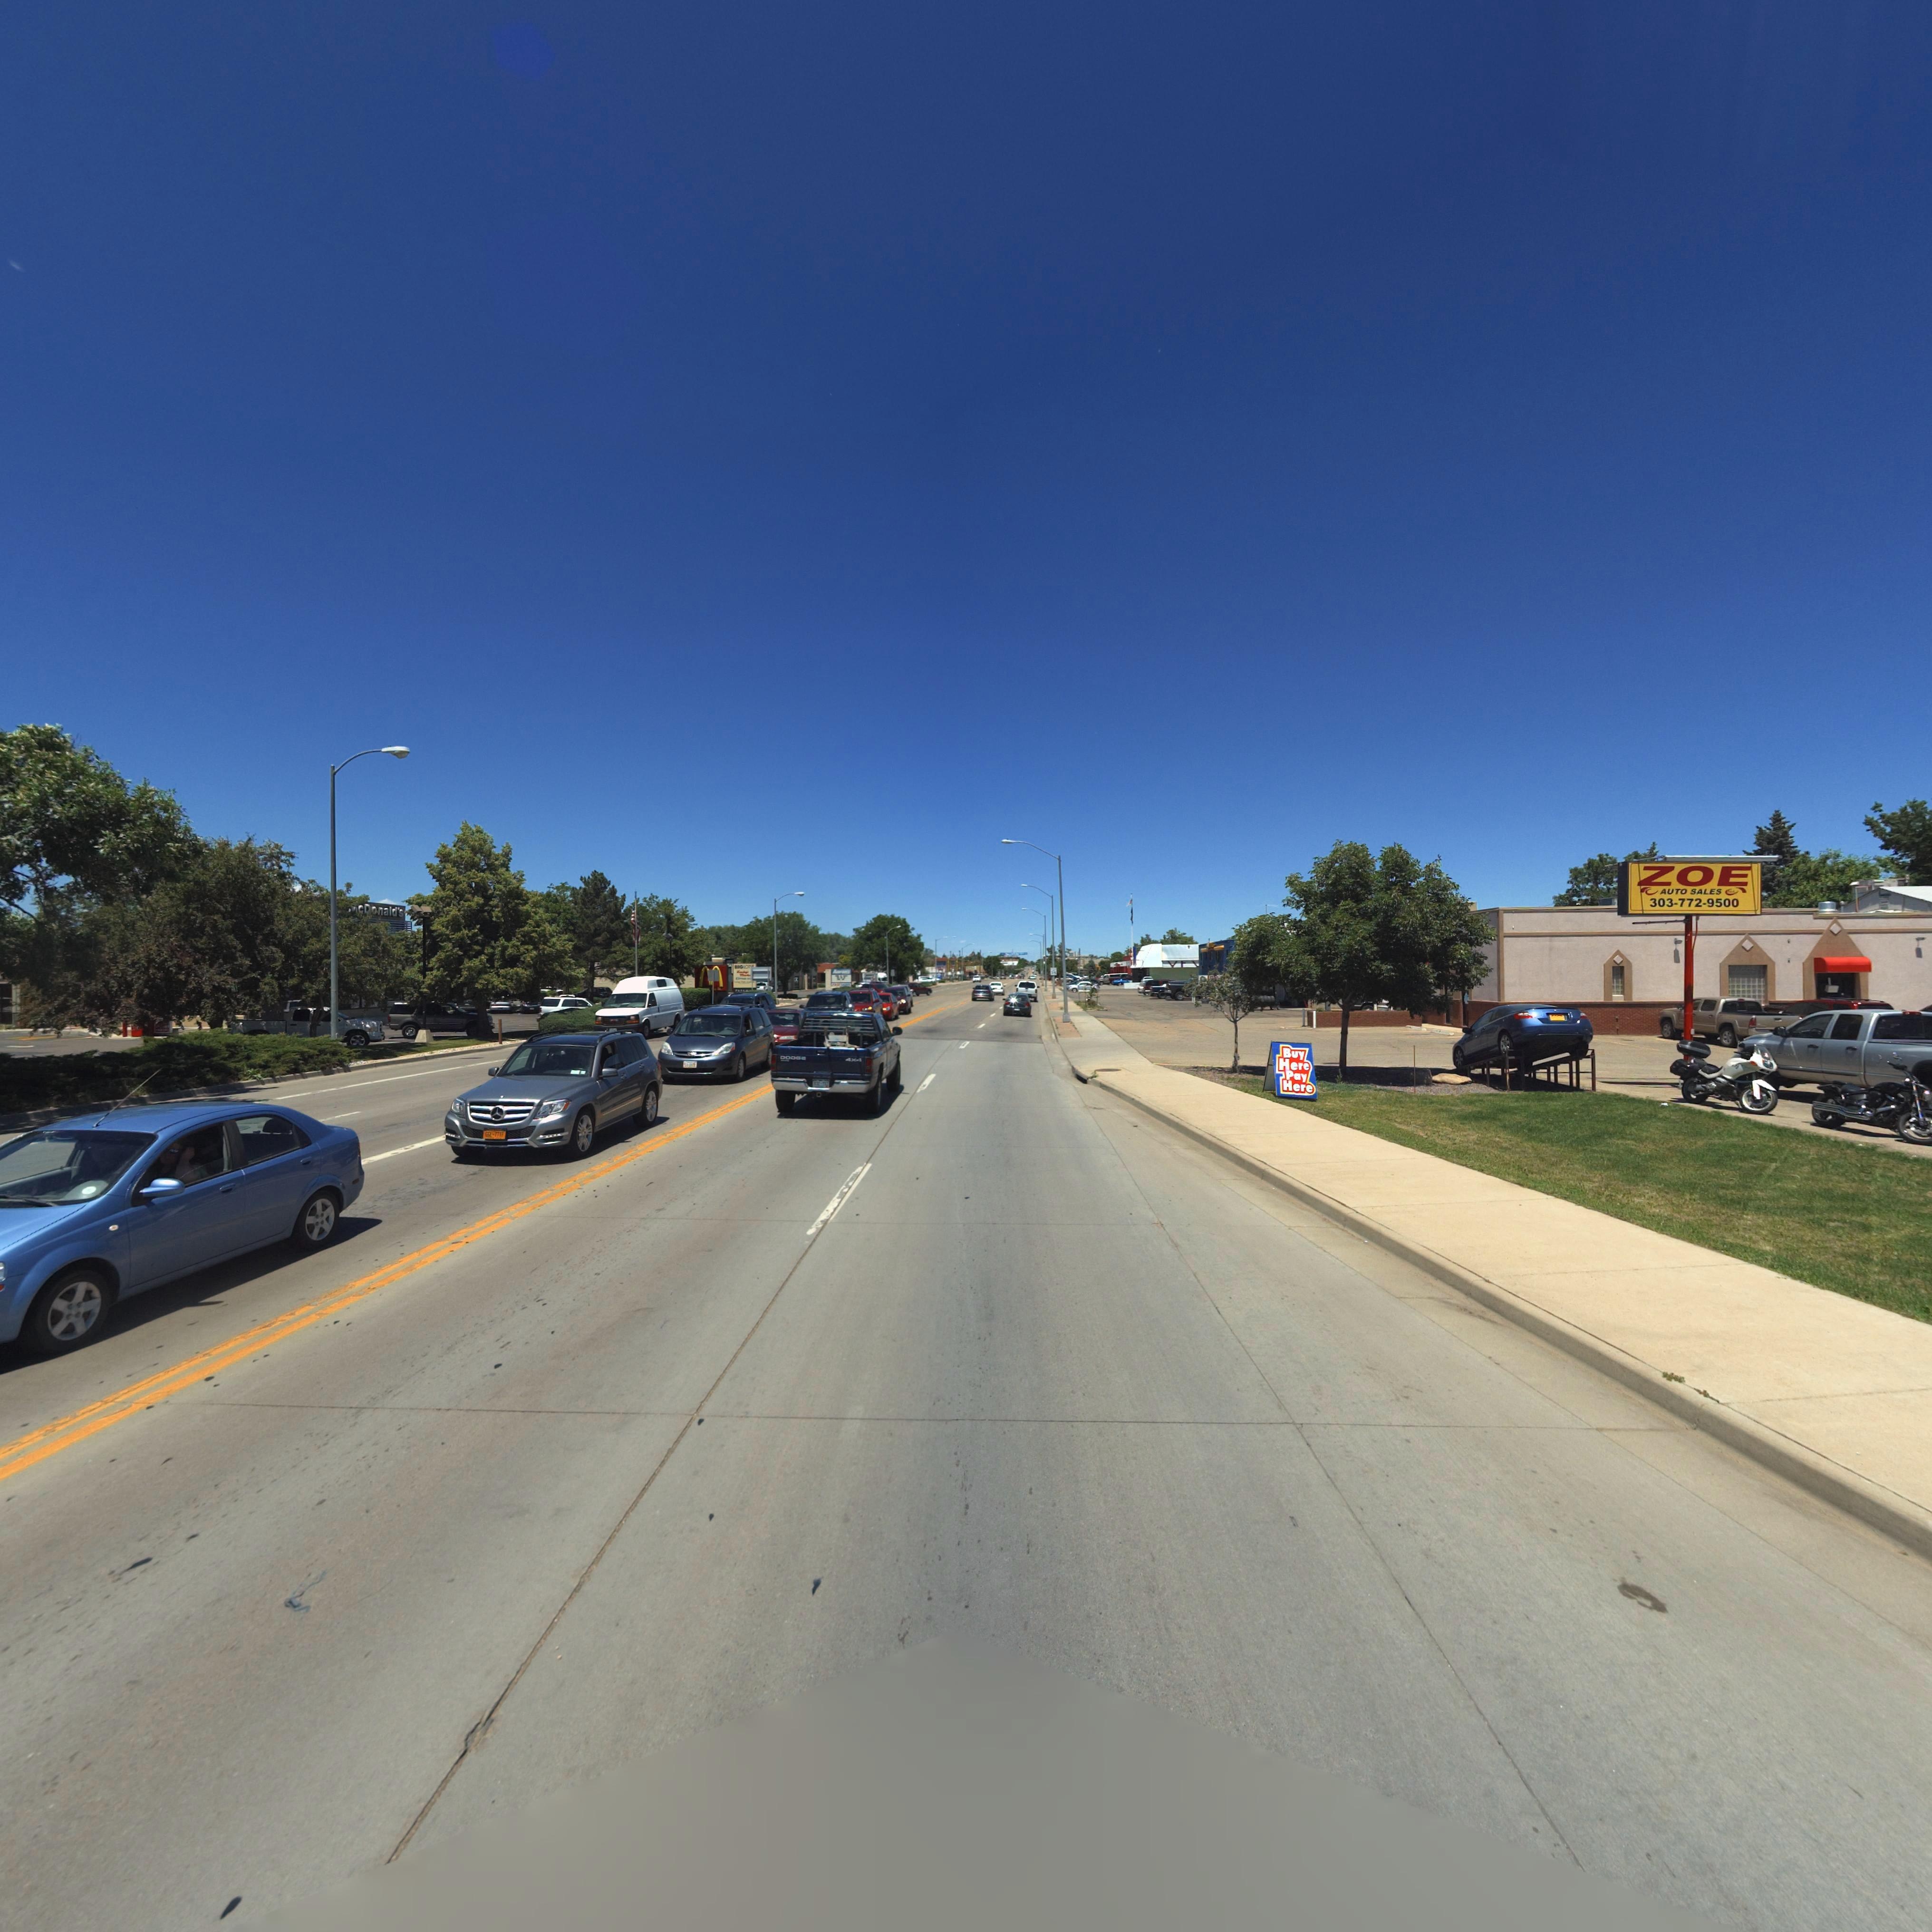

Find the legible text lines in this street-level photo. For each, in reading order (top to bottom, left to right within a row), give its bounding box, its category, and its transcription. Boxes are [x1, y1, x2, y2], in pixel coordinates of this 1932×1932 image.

[1636, 864, 1752, 887] BusinessName: ZOE
[1659, 888, 1722, 895] BusinessName: AUTO SALES
[346, 902, 404, 918] BusinessName: ***onald's
[734, 965, 754, 969] BusinessName: BIGLOT**
[736, 970, 748, 974] BusinessName: L**kys
[831, 969, 851, 974] BusinessName: Aaron's
[739, 973, 751, 976] BusinessName: M*****
[735, 977, 752, 980] BusinessName: ******S ***